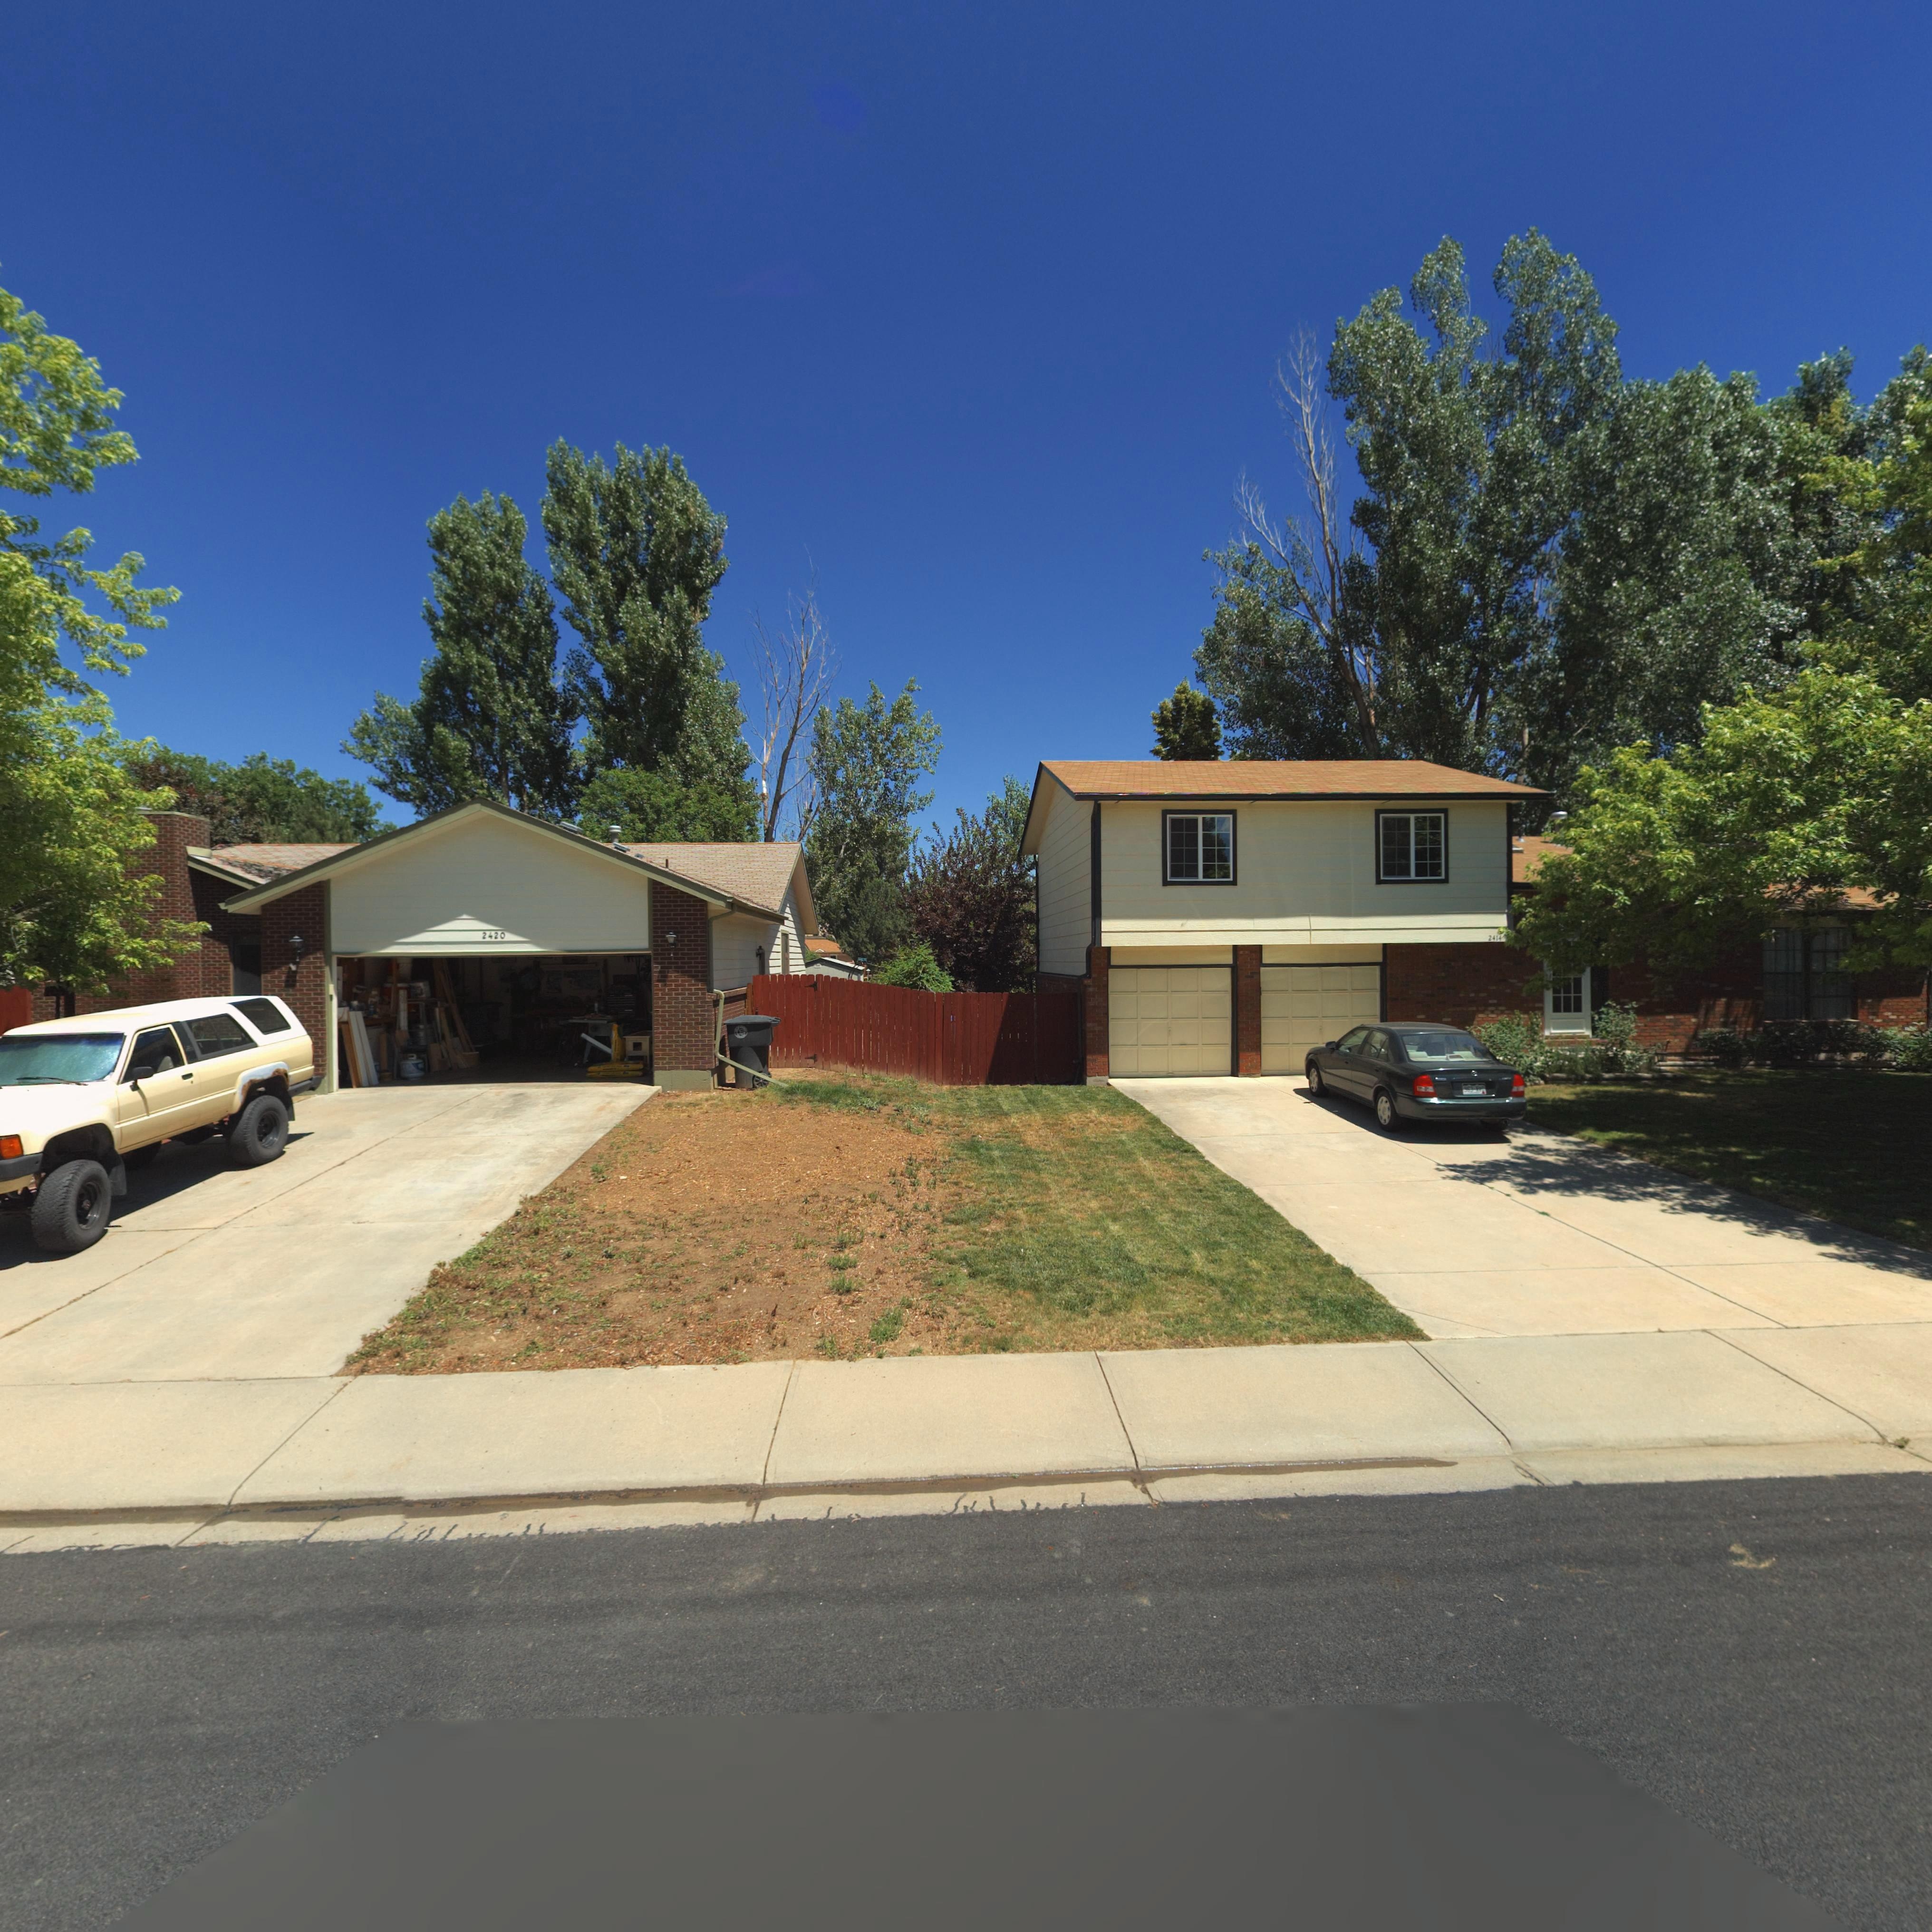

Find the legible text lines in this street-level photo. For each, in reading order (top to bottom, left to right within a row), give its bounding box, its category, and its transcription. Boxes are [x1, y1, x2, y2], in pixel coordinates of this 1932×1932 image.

[482, 931, 506, 940] StreetNumber: 2420
[1488, 935, 1501, 941] StreetNumber: 2414